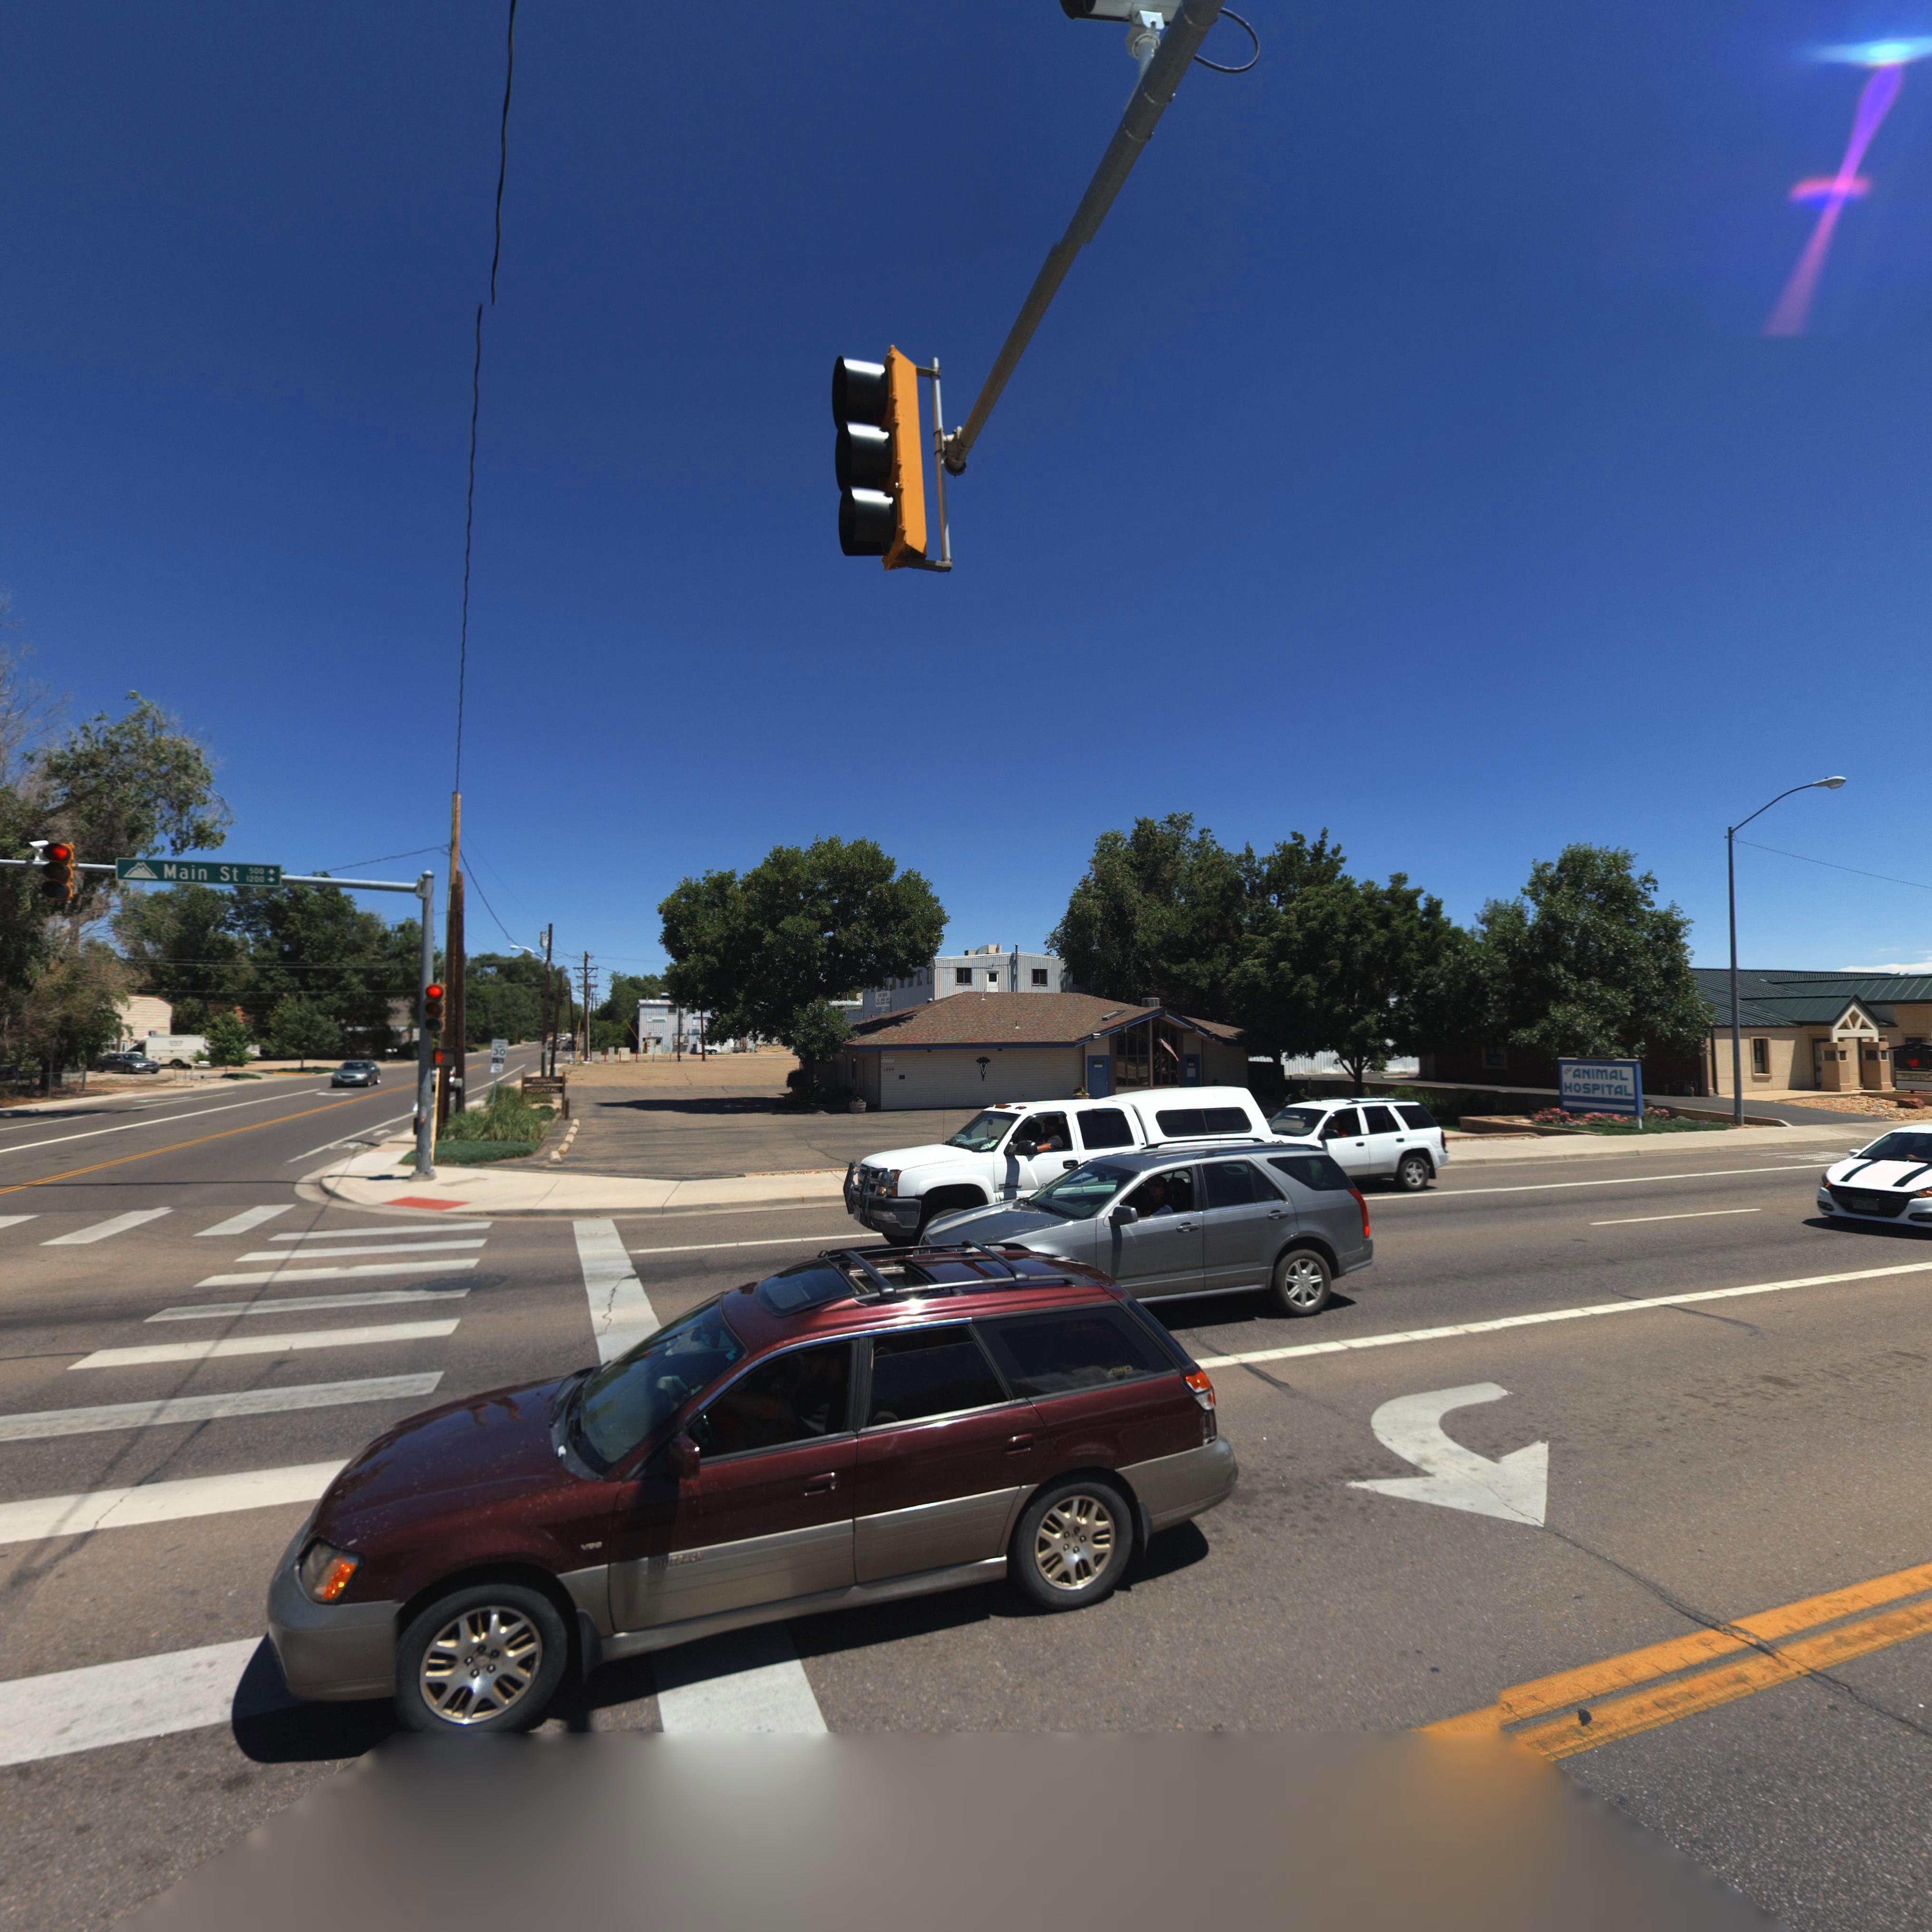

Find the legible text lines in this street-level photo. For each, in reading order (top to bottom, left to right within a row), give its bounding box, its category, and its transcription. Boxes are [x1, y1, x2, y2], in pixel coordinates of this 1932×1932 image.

[164, 863, 239, 881] StreetName: Main St
[248, 867, 265, 874] StreetNumberRange: 500
[246, 875, 275, 882] StreetNumberRange: 1200 ->
[883, 1067, 894, 1072] StreetNumber: 1250
[1563, 1066, 1572, 1075] BusinessName: The
[1572, 1067, 1629, 1081] BusinessName: ANIMAL
[531, 1078, 555, 1083] BusinessName: ANIMAL
[526, 1087, 559, 1093] BusinessName: HOSPITAL
[1564, 1081, 1633, 1096] BusinessName: HOSPITAL